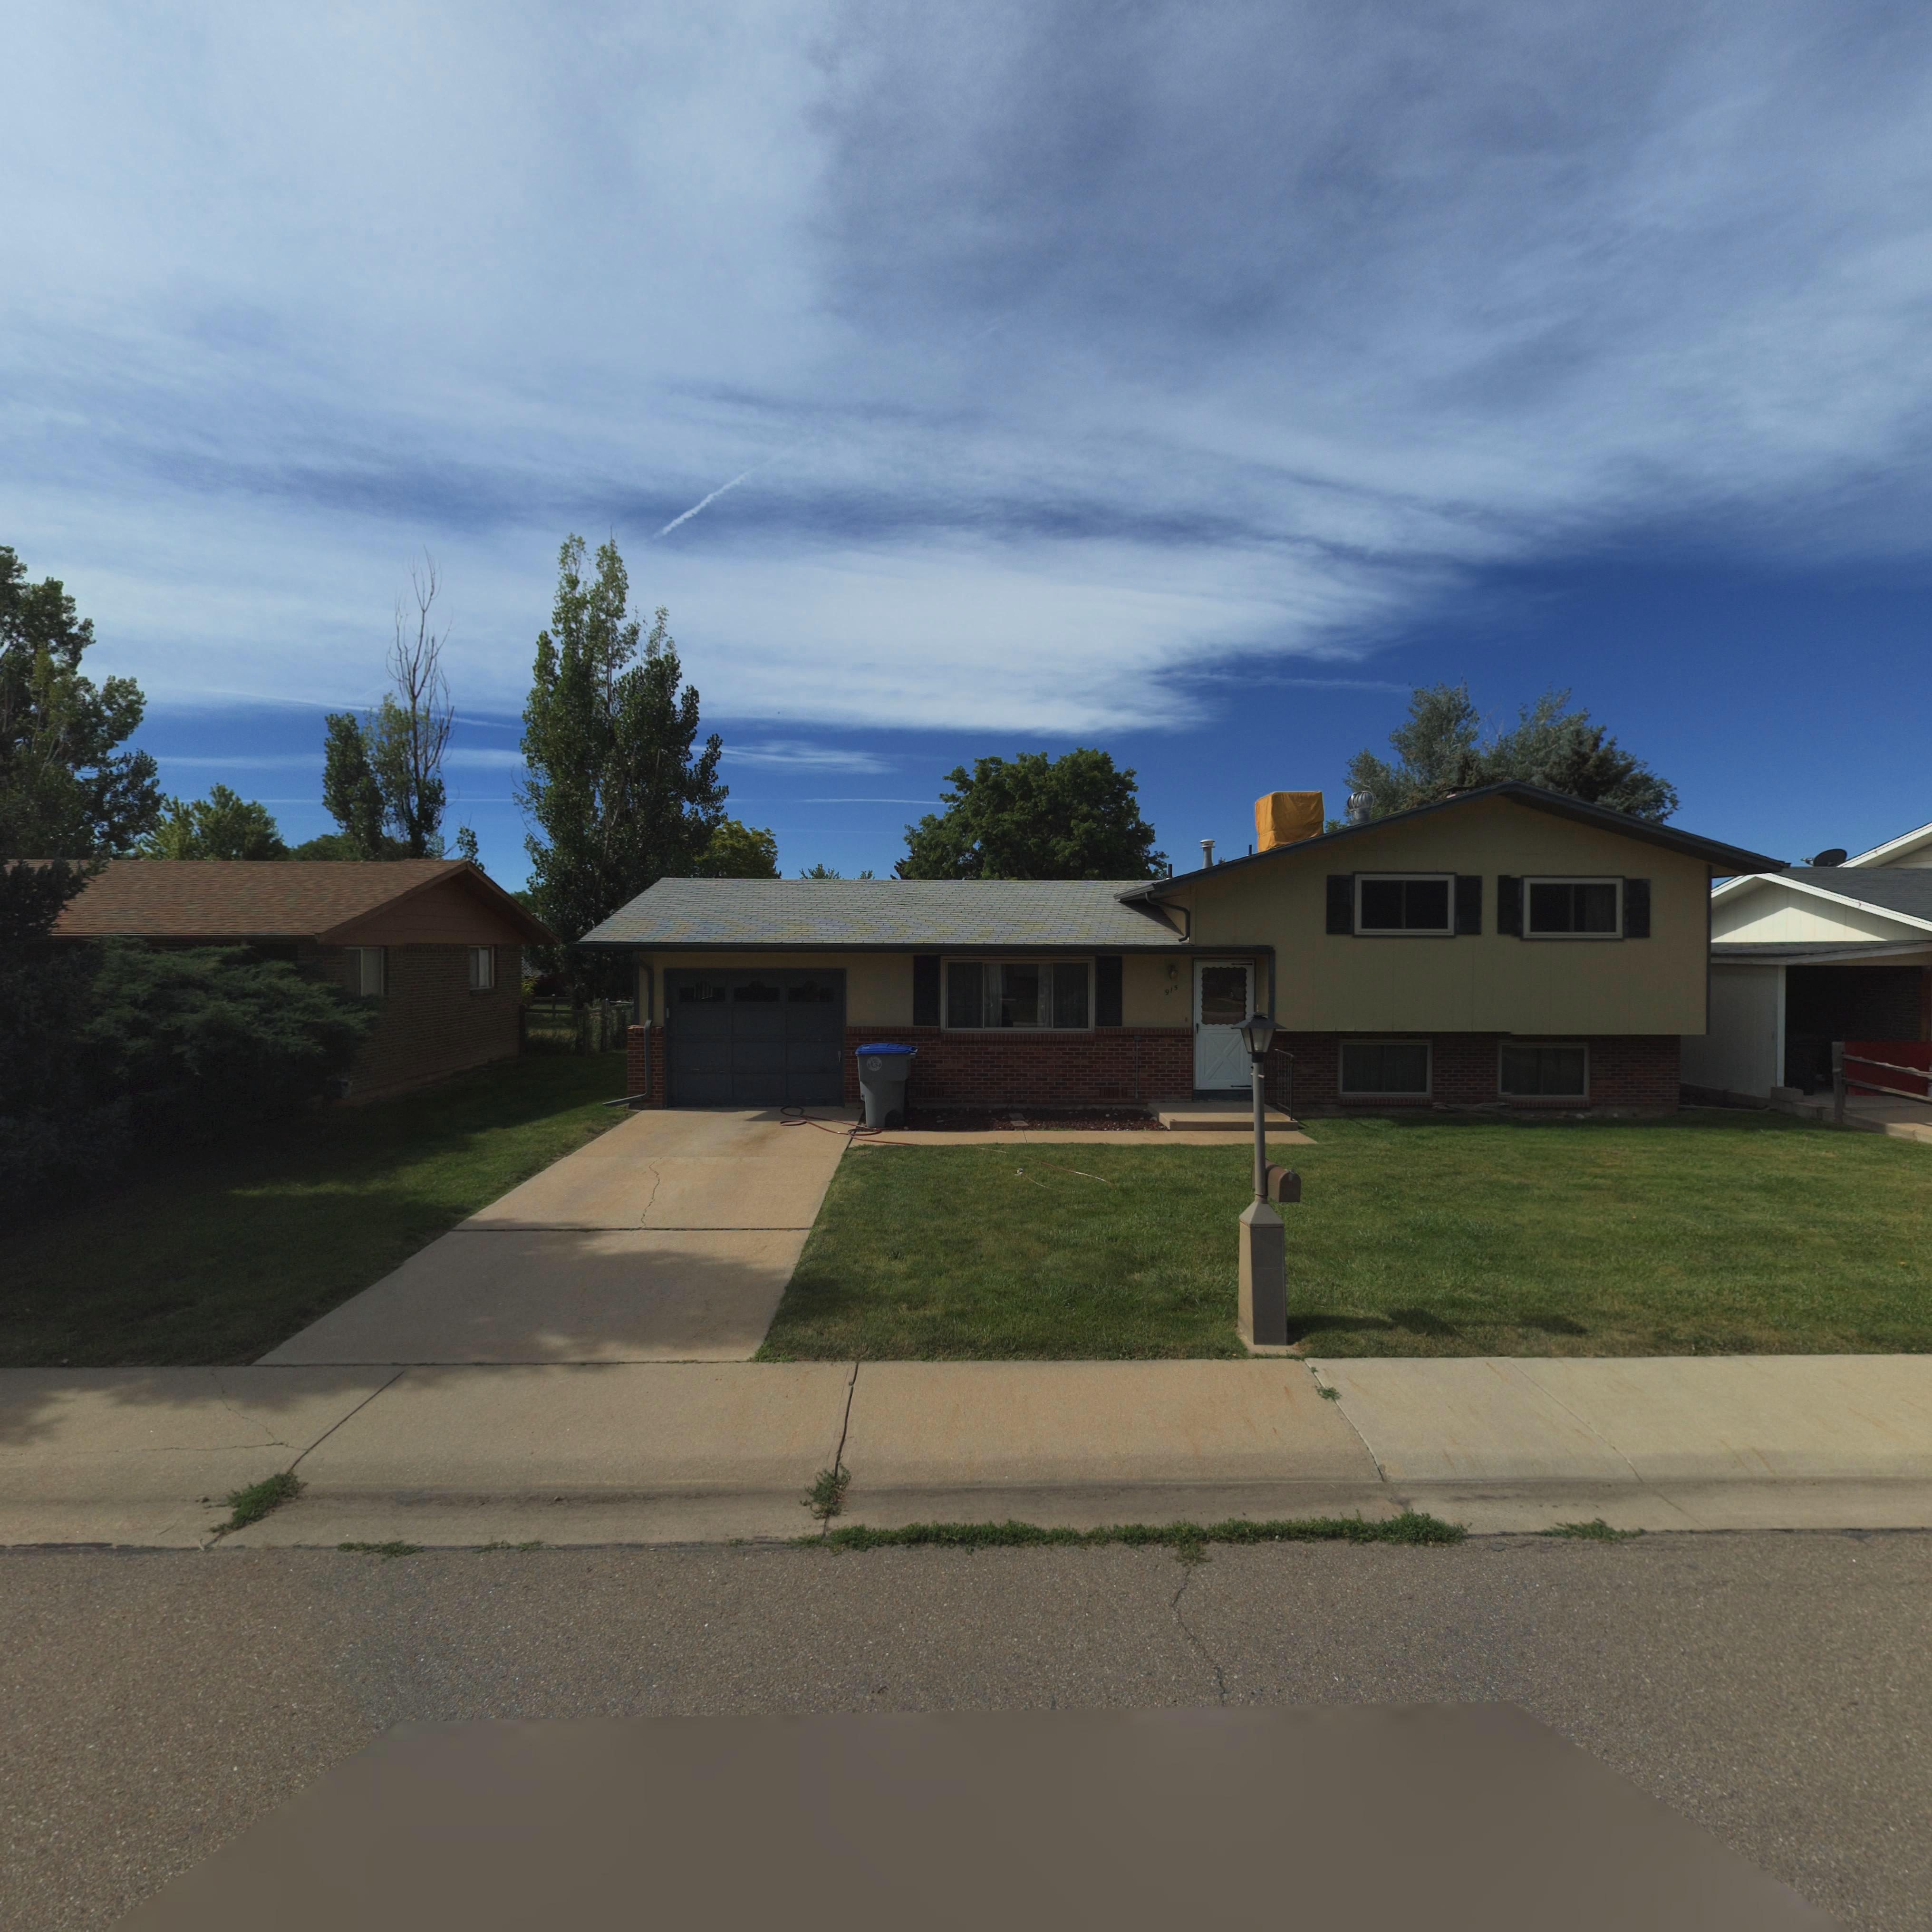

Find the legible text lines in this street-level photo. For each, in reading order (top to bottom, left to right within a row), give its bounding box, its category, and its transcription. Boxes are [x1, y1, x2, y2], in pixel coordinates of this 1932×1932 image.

[1164, 984, 1178, 996] StreetNumber: 915